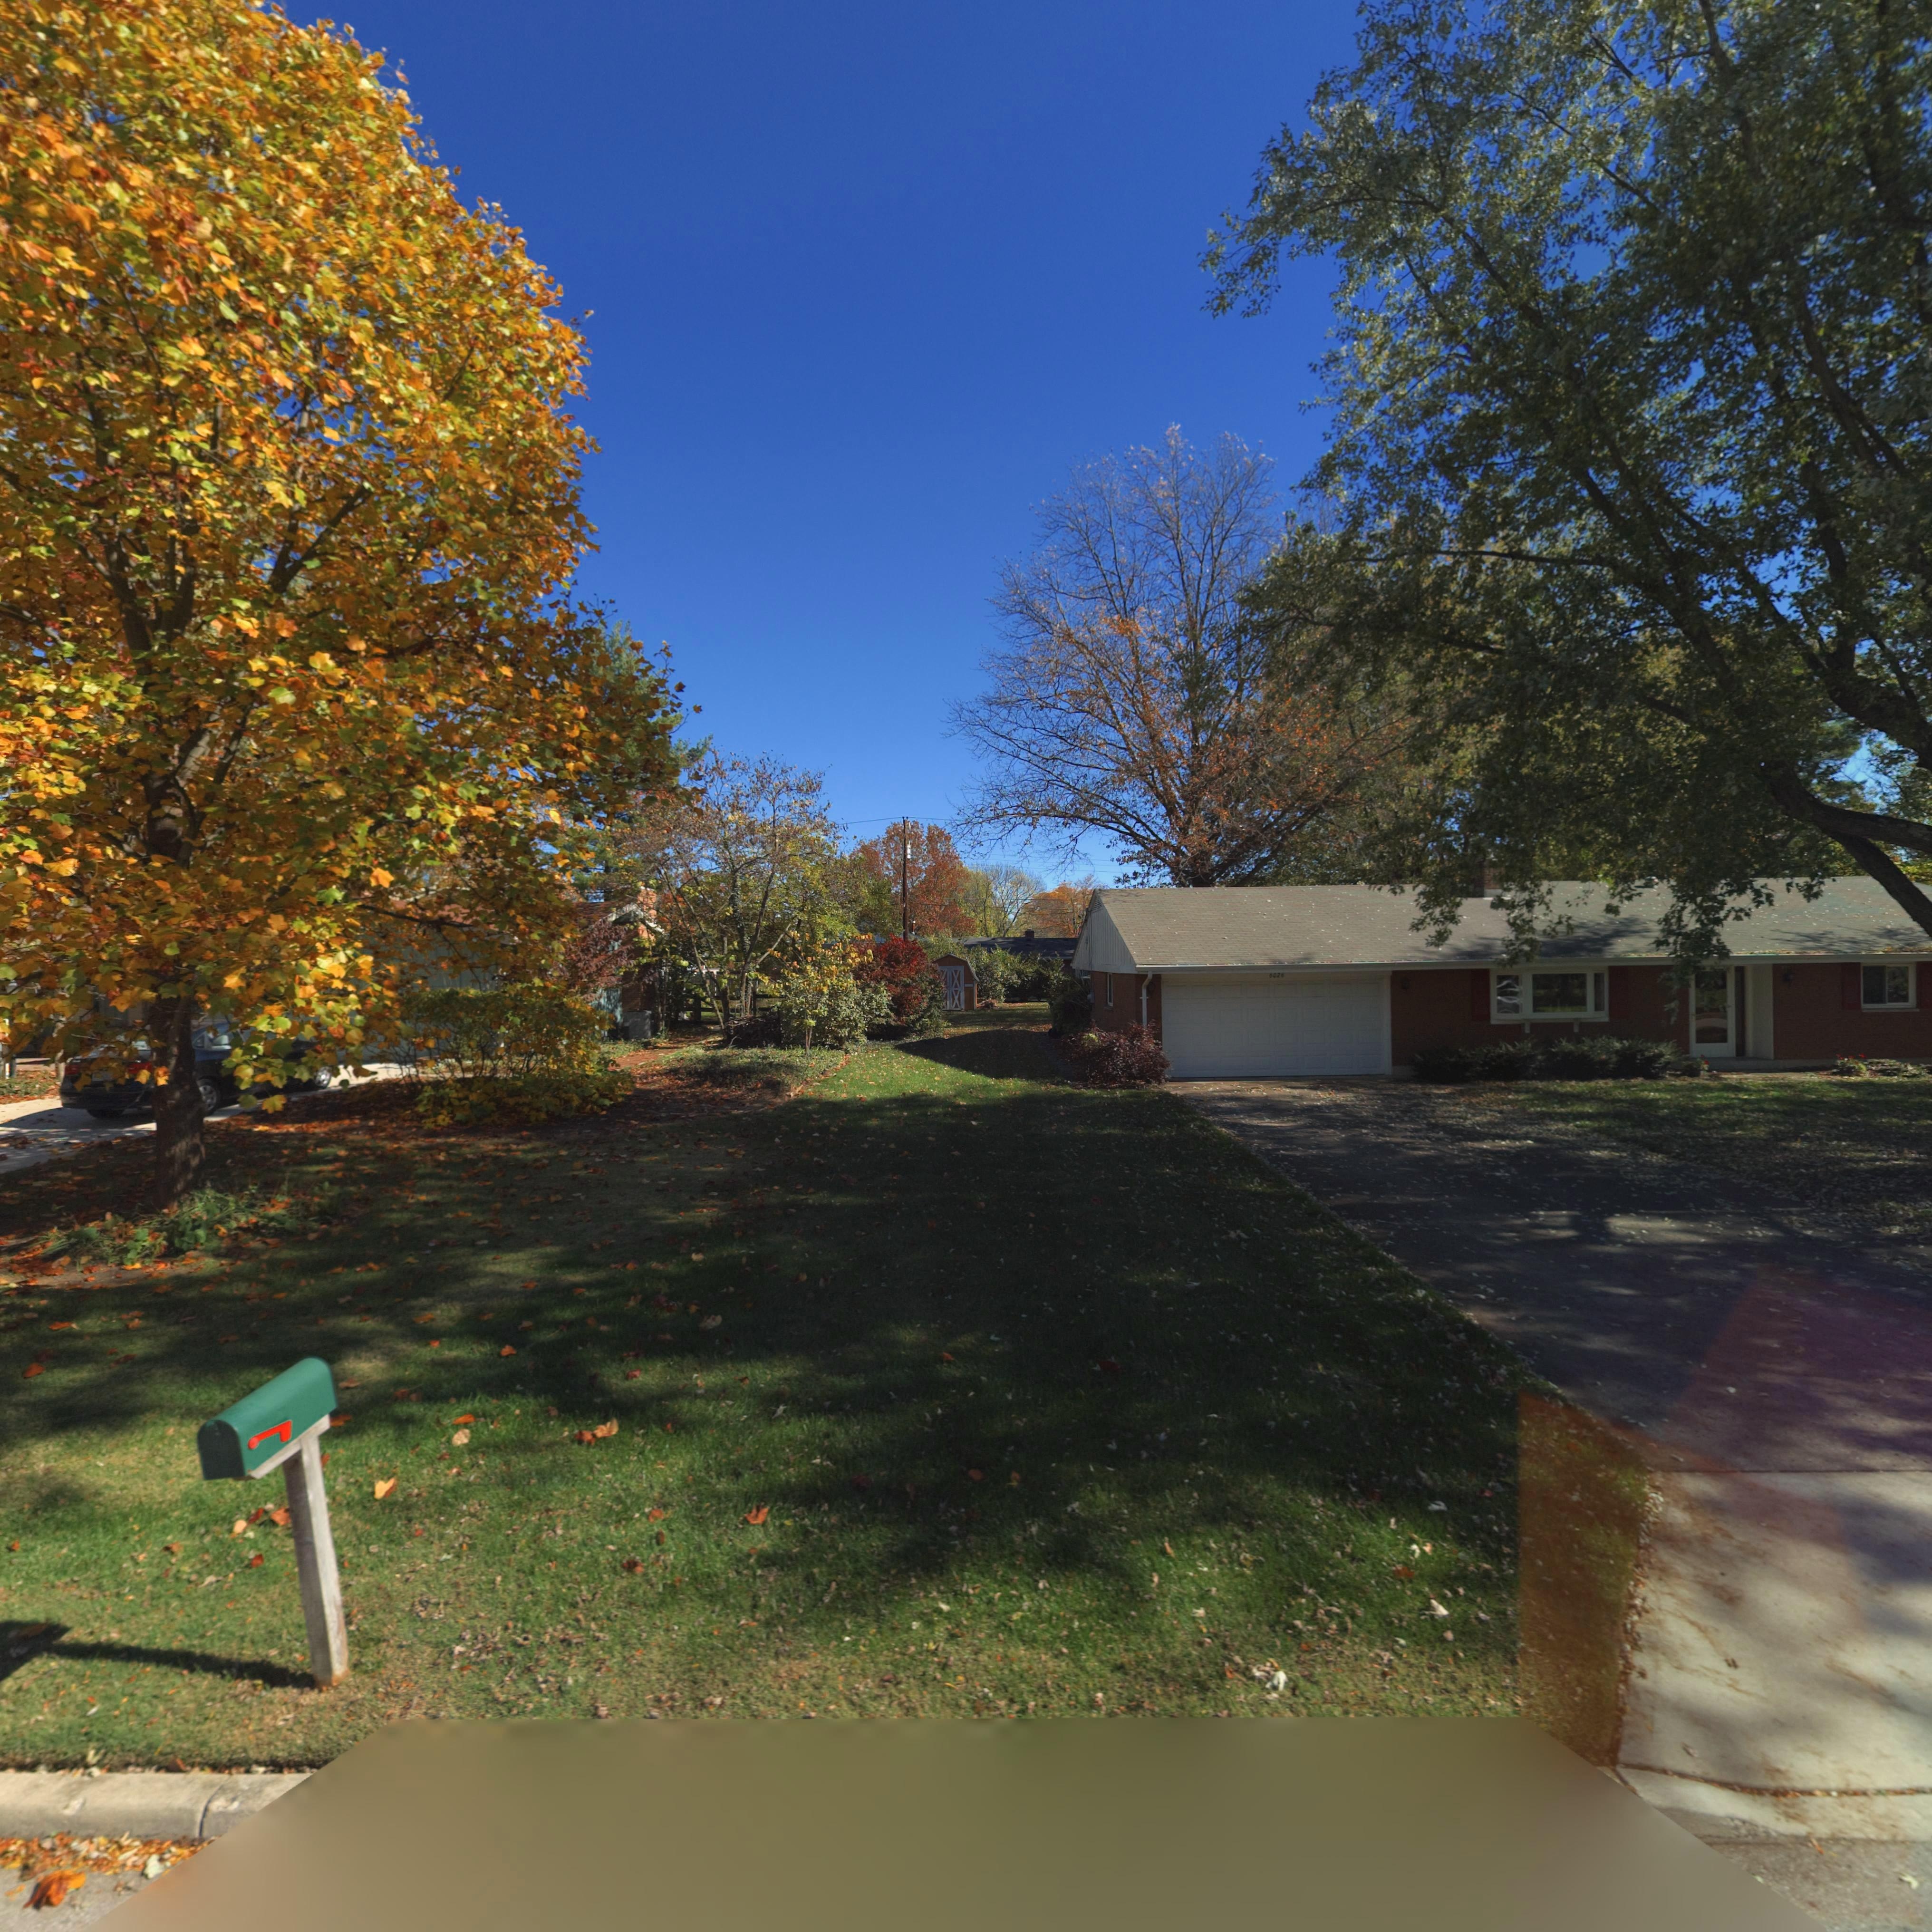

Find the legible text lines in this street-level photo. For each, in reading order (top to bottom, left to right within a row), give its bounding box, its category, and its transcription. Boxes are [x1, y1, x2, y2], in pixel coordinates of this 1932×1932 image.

[1268, 972, 1285, 979] StreetNumber: 602*